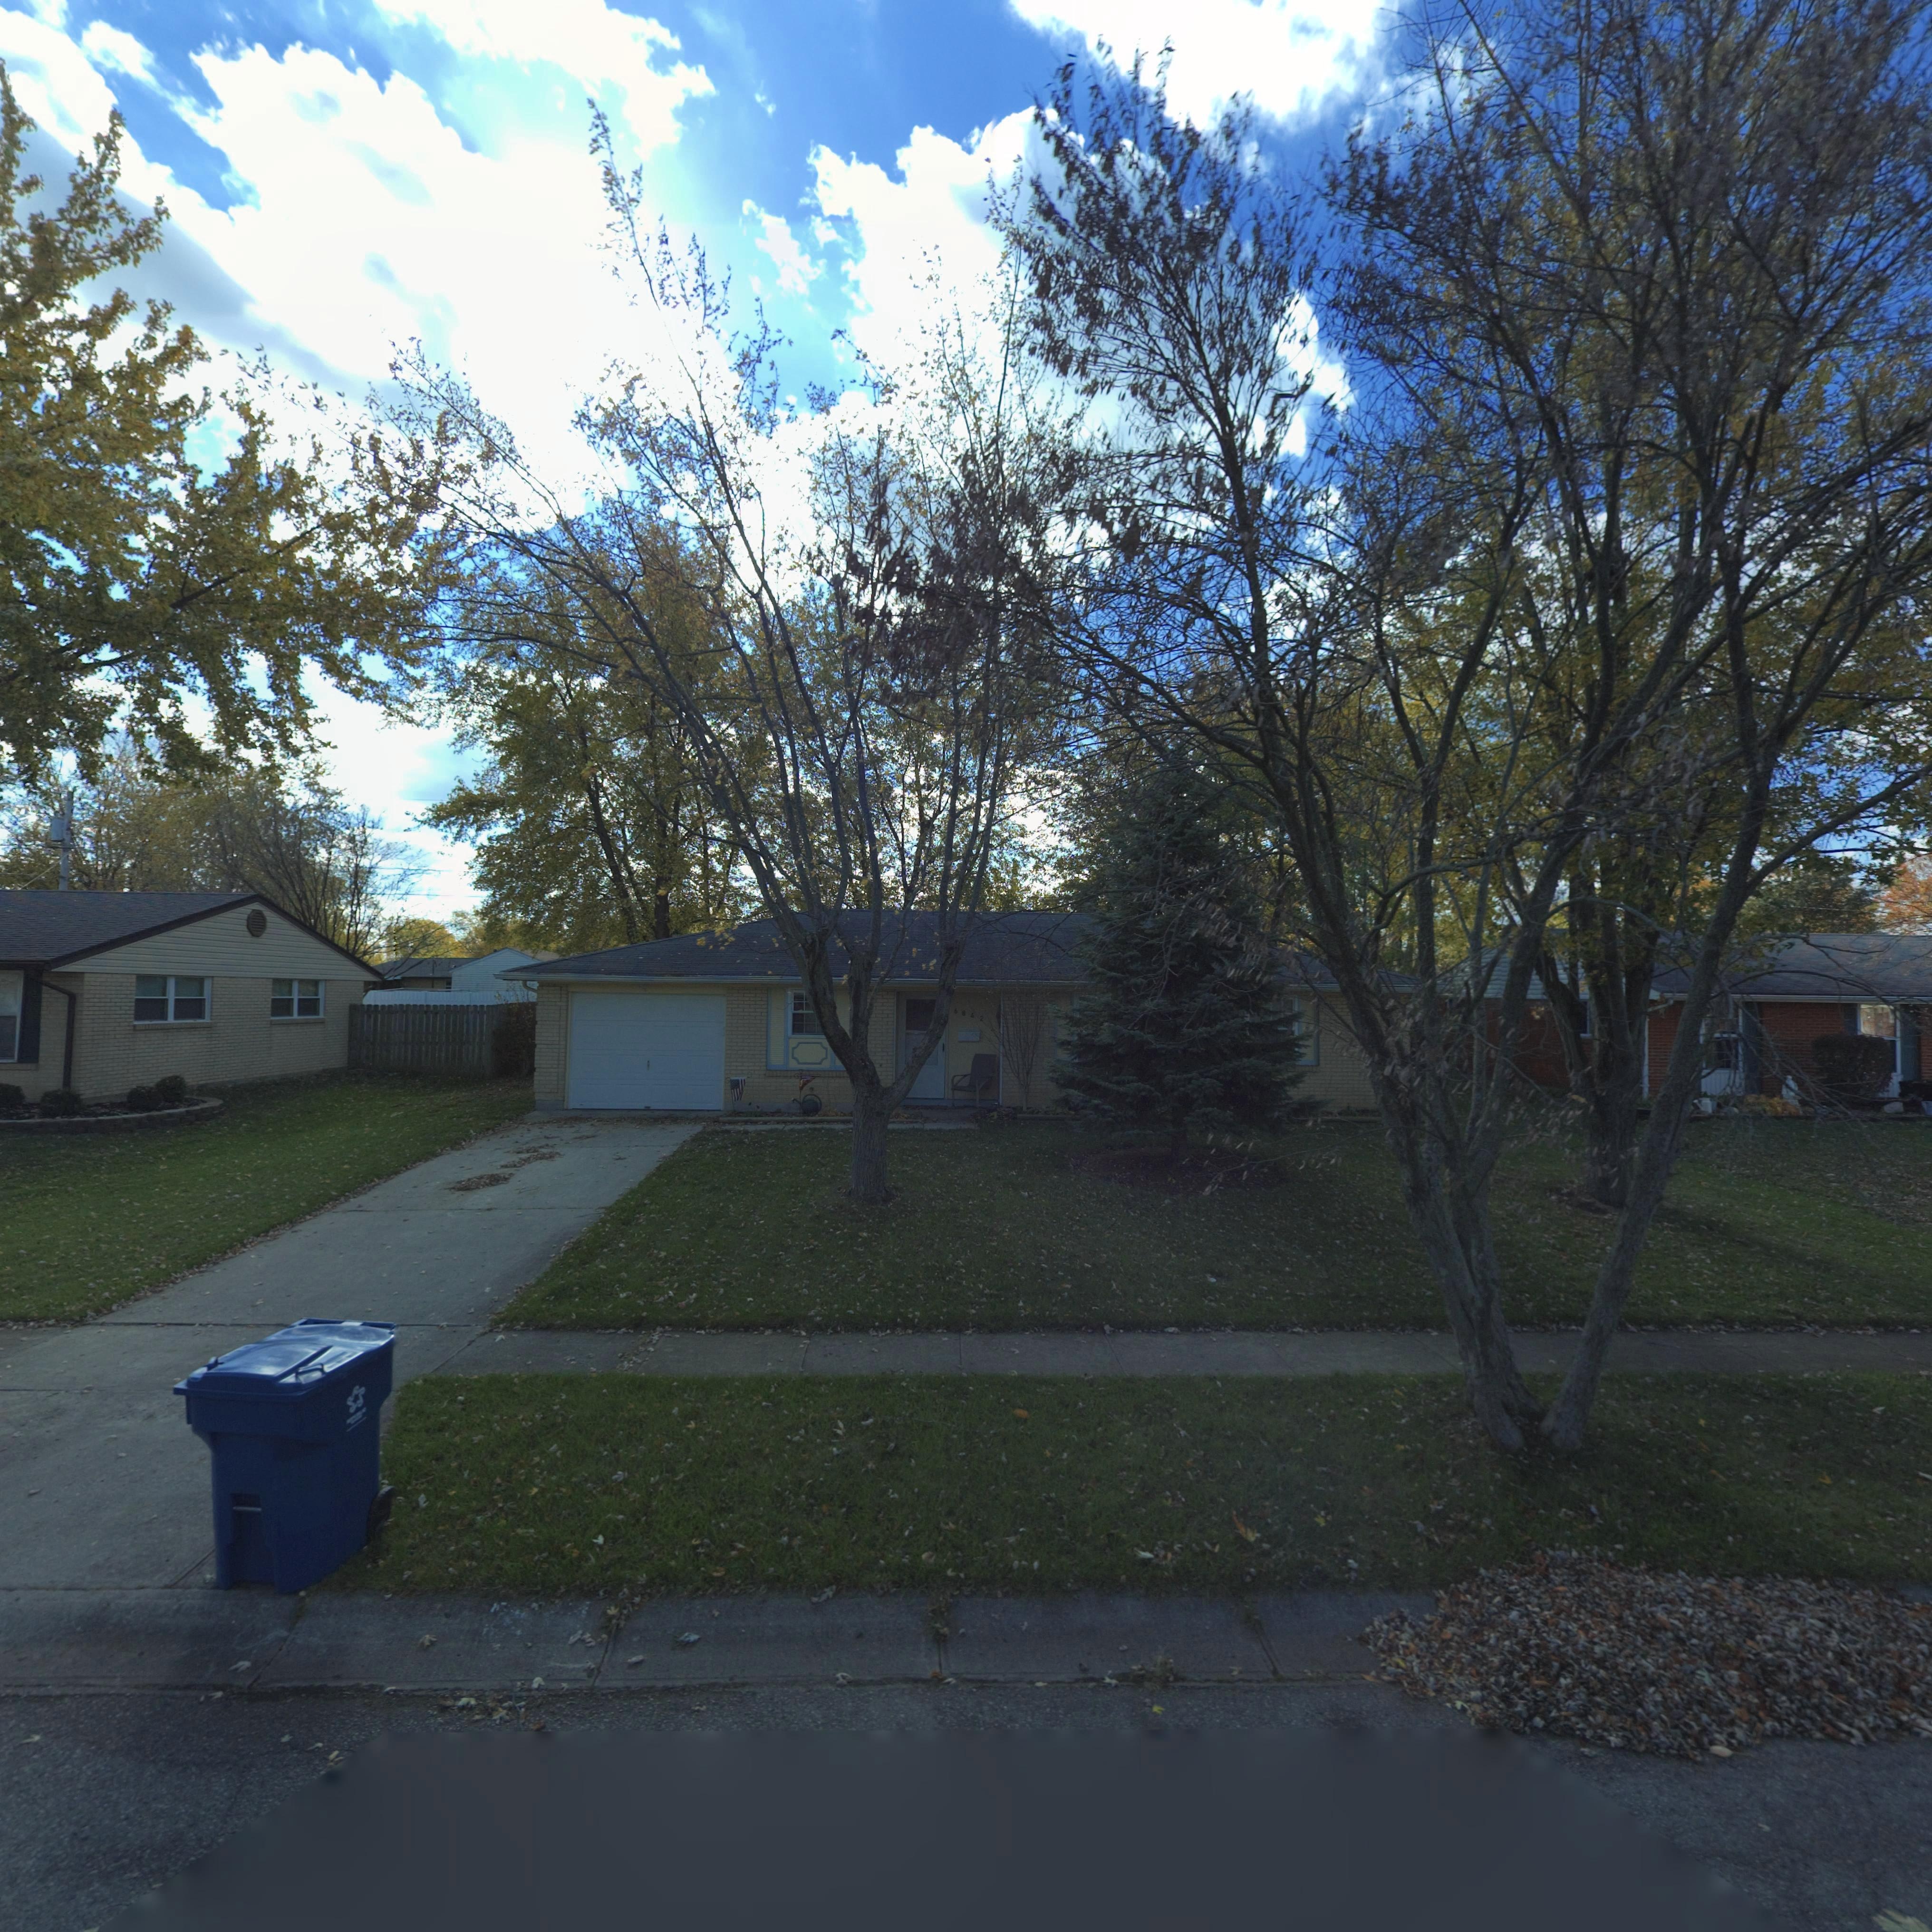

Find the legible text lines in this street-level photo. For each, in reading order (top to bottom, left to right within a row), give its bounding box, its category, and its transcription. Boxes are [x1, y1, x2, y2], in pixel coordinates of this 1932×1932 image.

[954, 1007, 984, 1022] StreetNumber: 6842